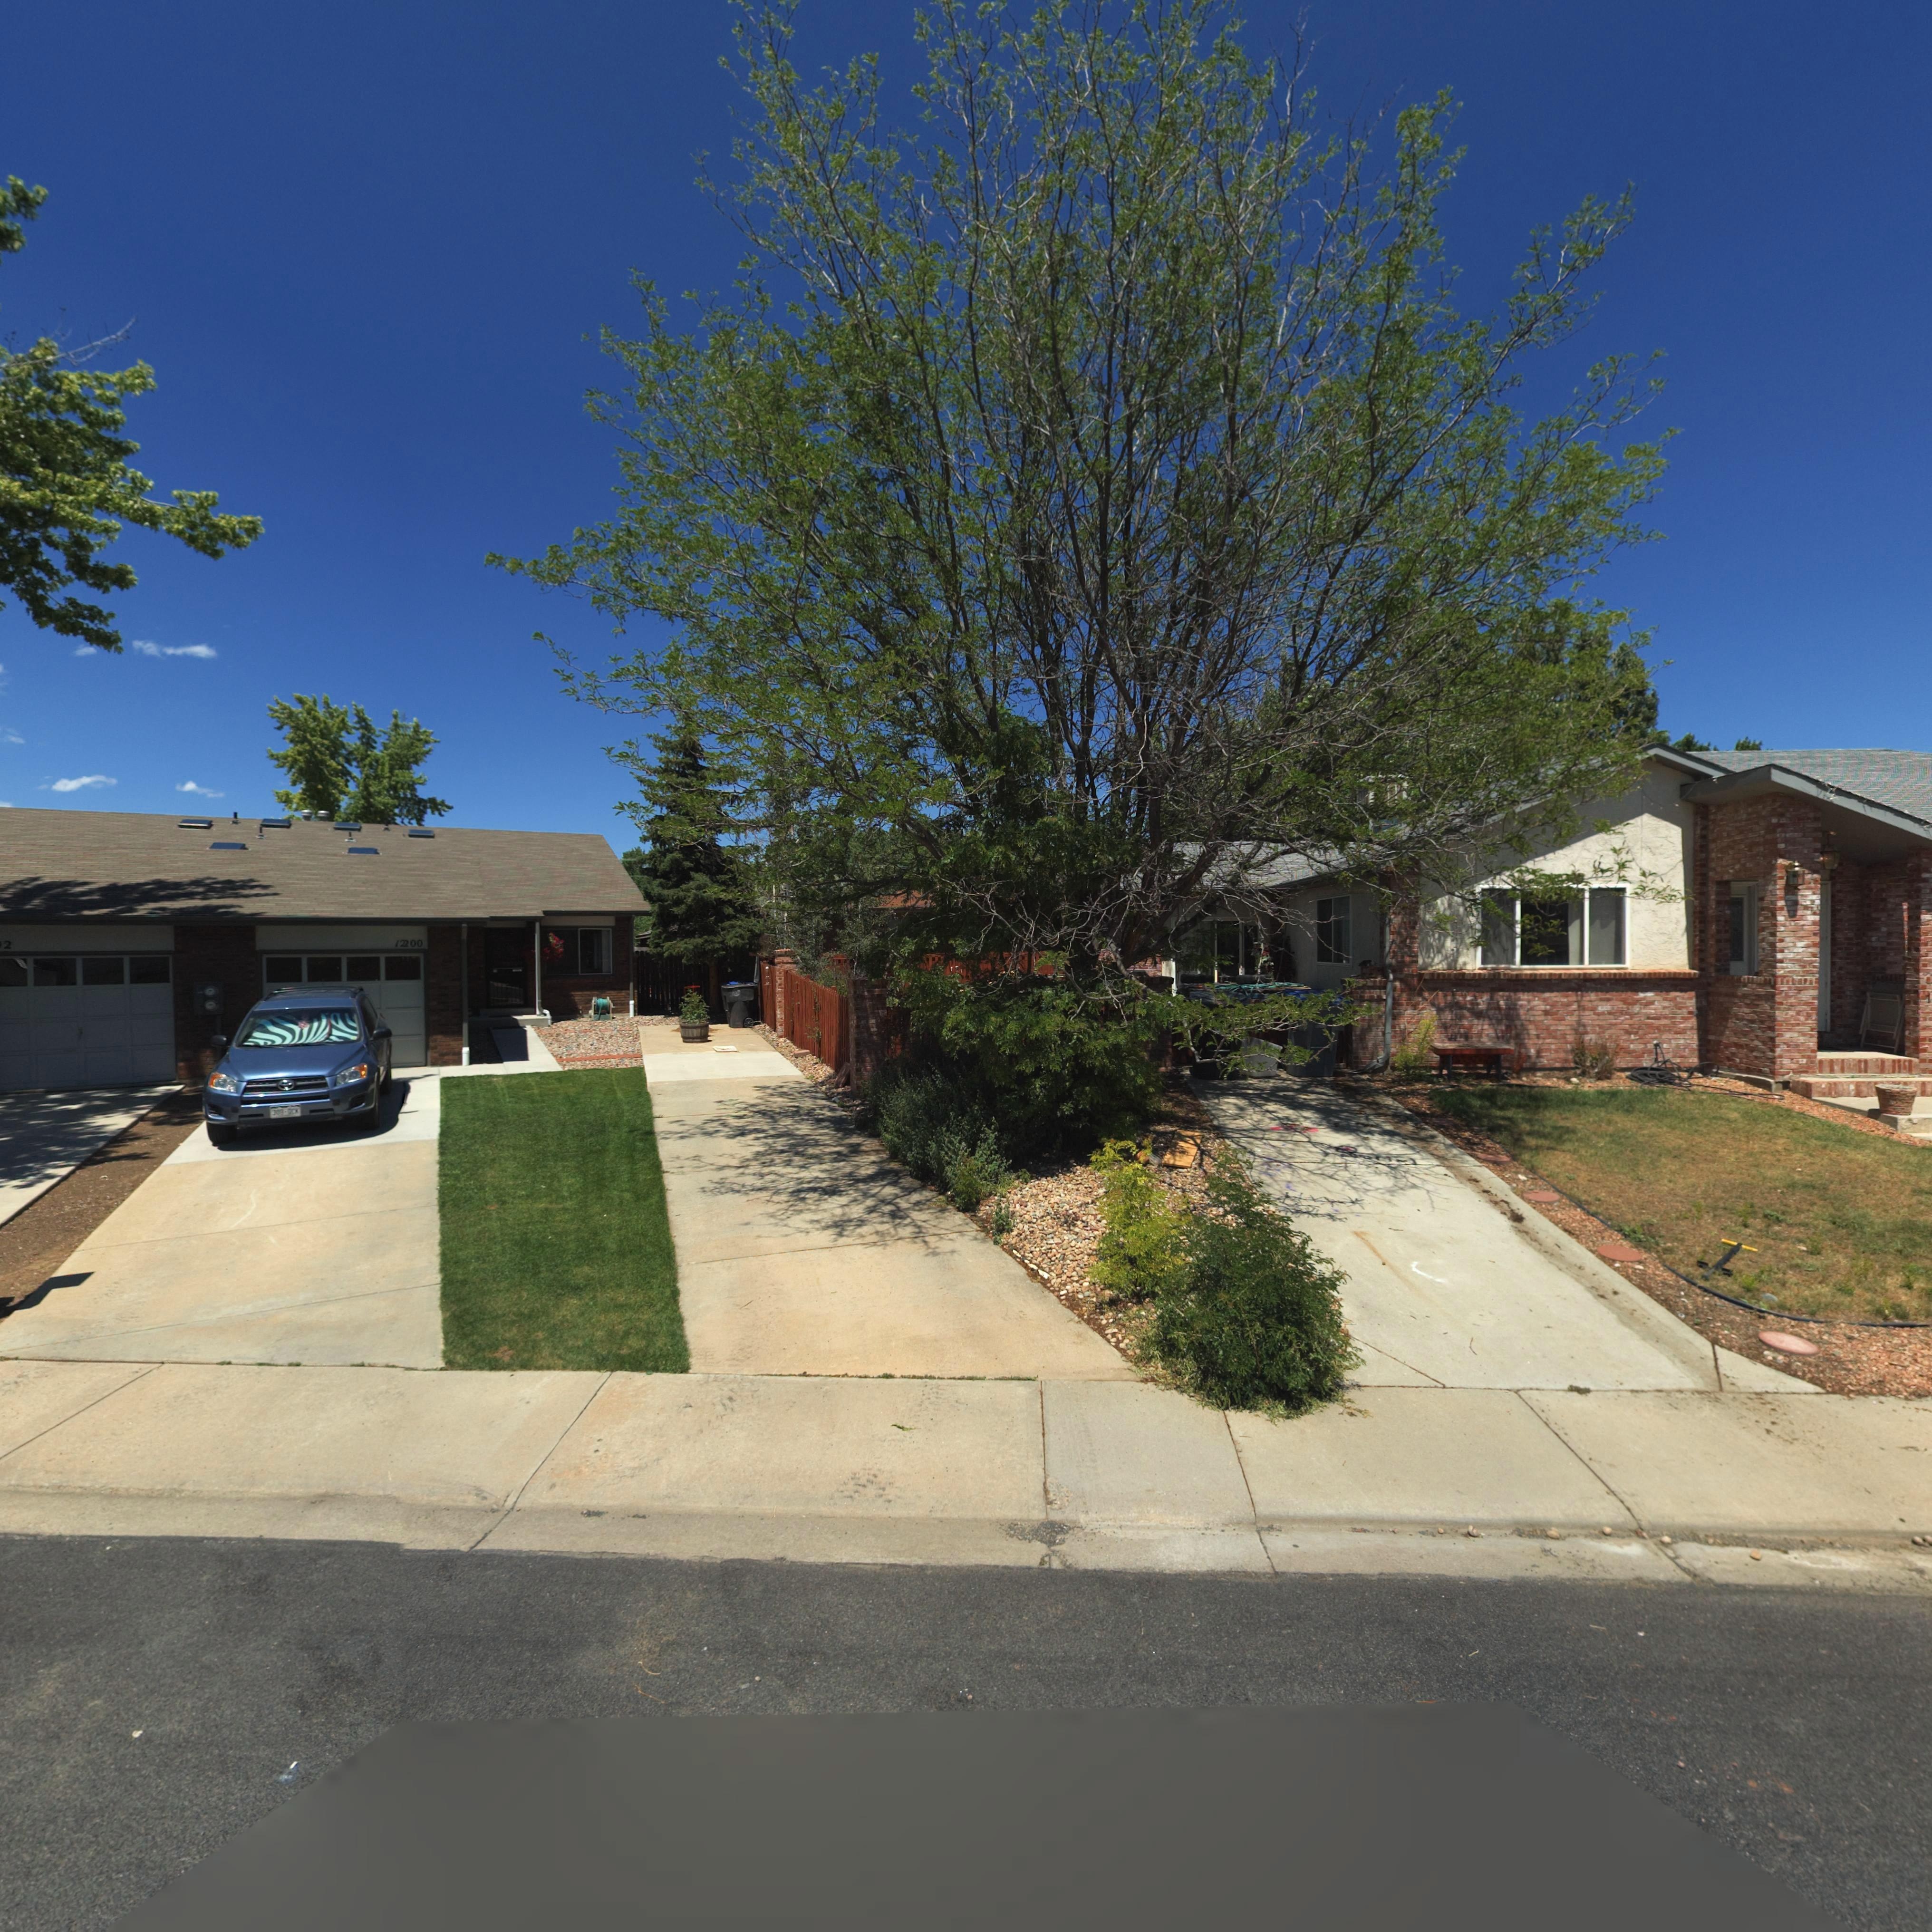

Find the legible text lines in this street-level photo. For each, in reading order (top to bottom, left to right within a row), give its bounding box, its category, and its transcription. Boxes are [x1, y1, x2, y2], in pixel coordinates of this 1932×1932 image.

[3, 939, 11, 949] StreetNumber: 2
[395, 939, 423, 947] StreetNumber: 1*00
[1925, 992, 1931, 1003] StreetNumber: 1